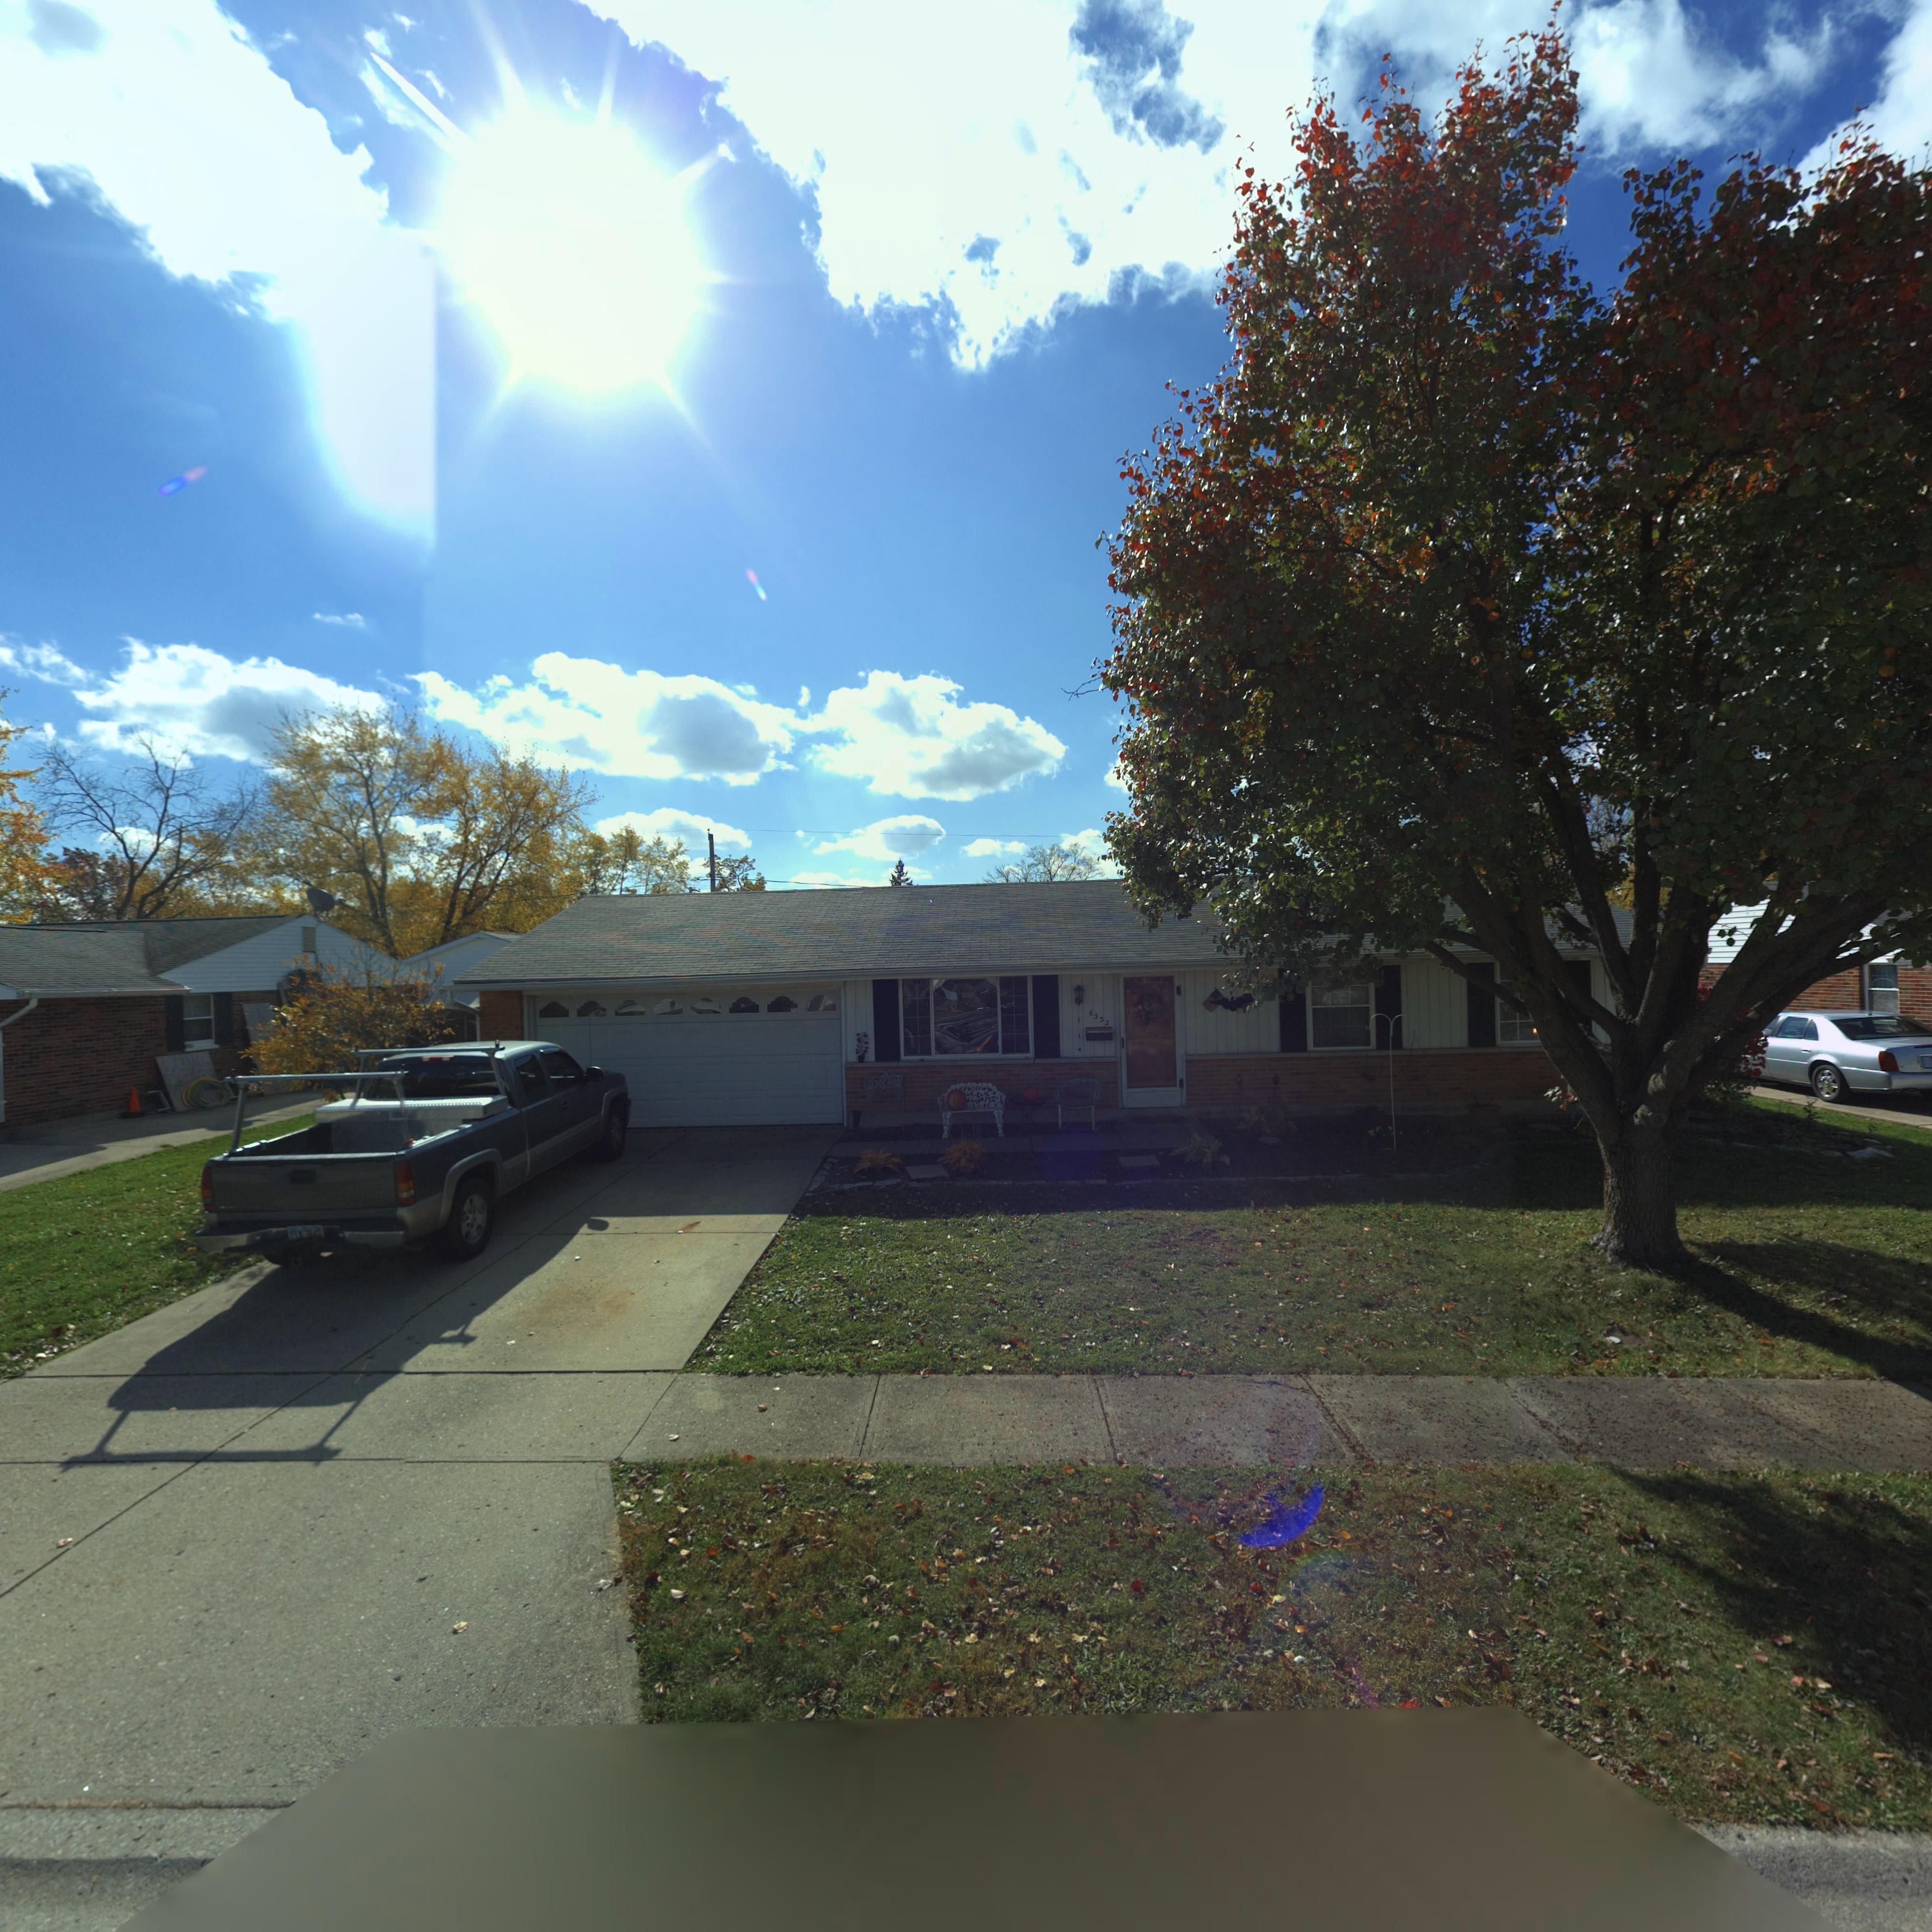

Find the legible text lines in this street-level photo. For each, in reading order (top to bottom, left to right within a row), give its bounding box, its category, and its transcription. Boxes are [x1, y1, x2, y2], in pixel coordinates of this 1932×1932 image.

[1088, 1009, 1110, 1026] StreetNumber: 6552